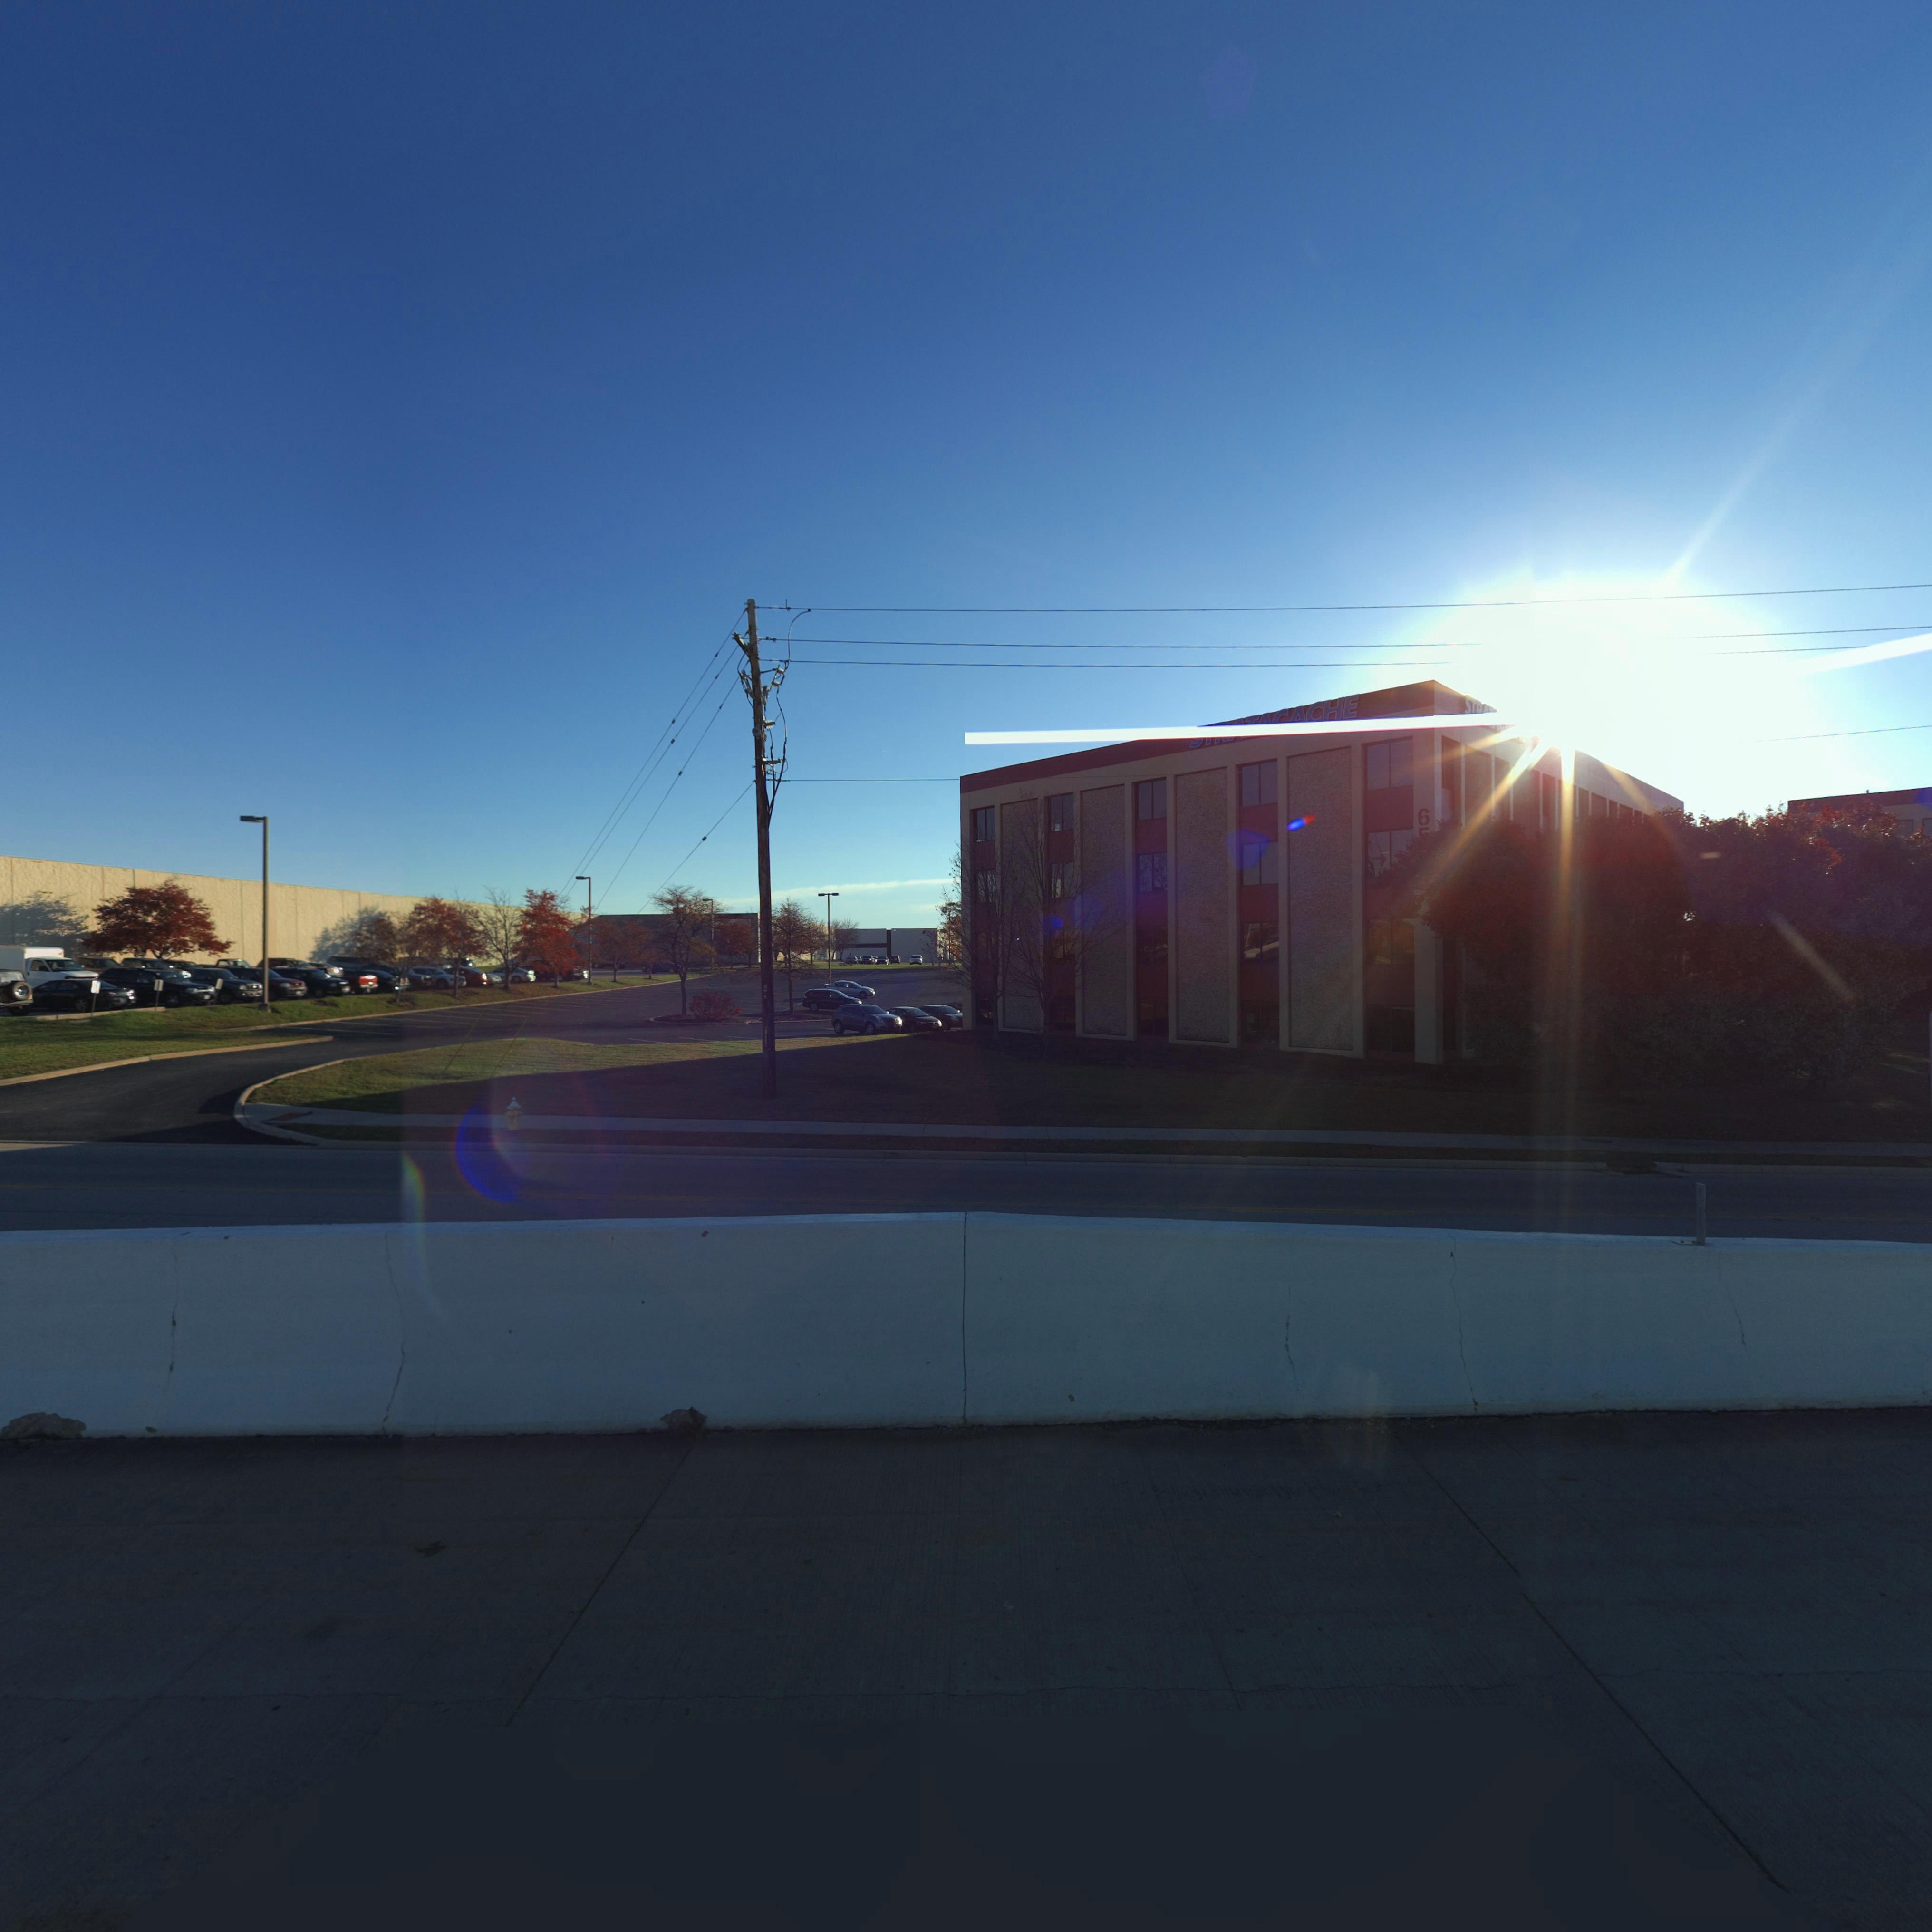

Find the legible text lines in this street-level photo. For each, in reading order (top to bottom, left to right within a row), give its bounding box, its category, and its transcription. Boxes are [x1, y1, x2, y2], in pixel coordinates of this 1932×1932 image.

[1186, 692, 1360, 749] None: ******CACHE
[1461, 693, 1484, 724] None: ST*
[1416, 807, 1432, 827] StreetNumber: 6